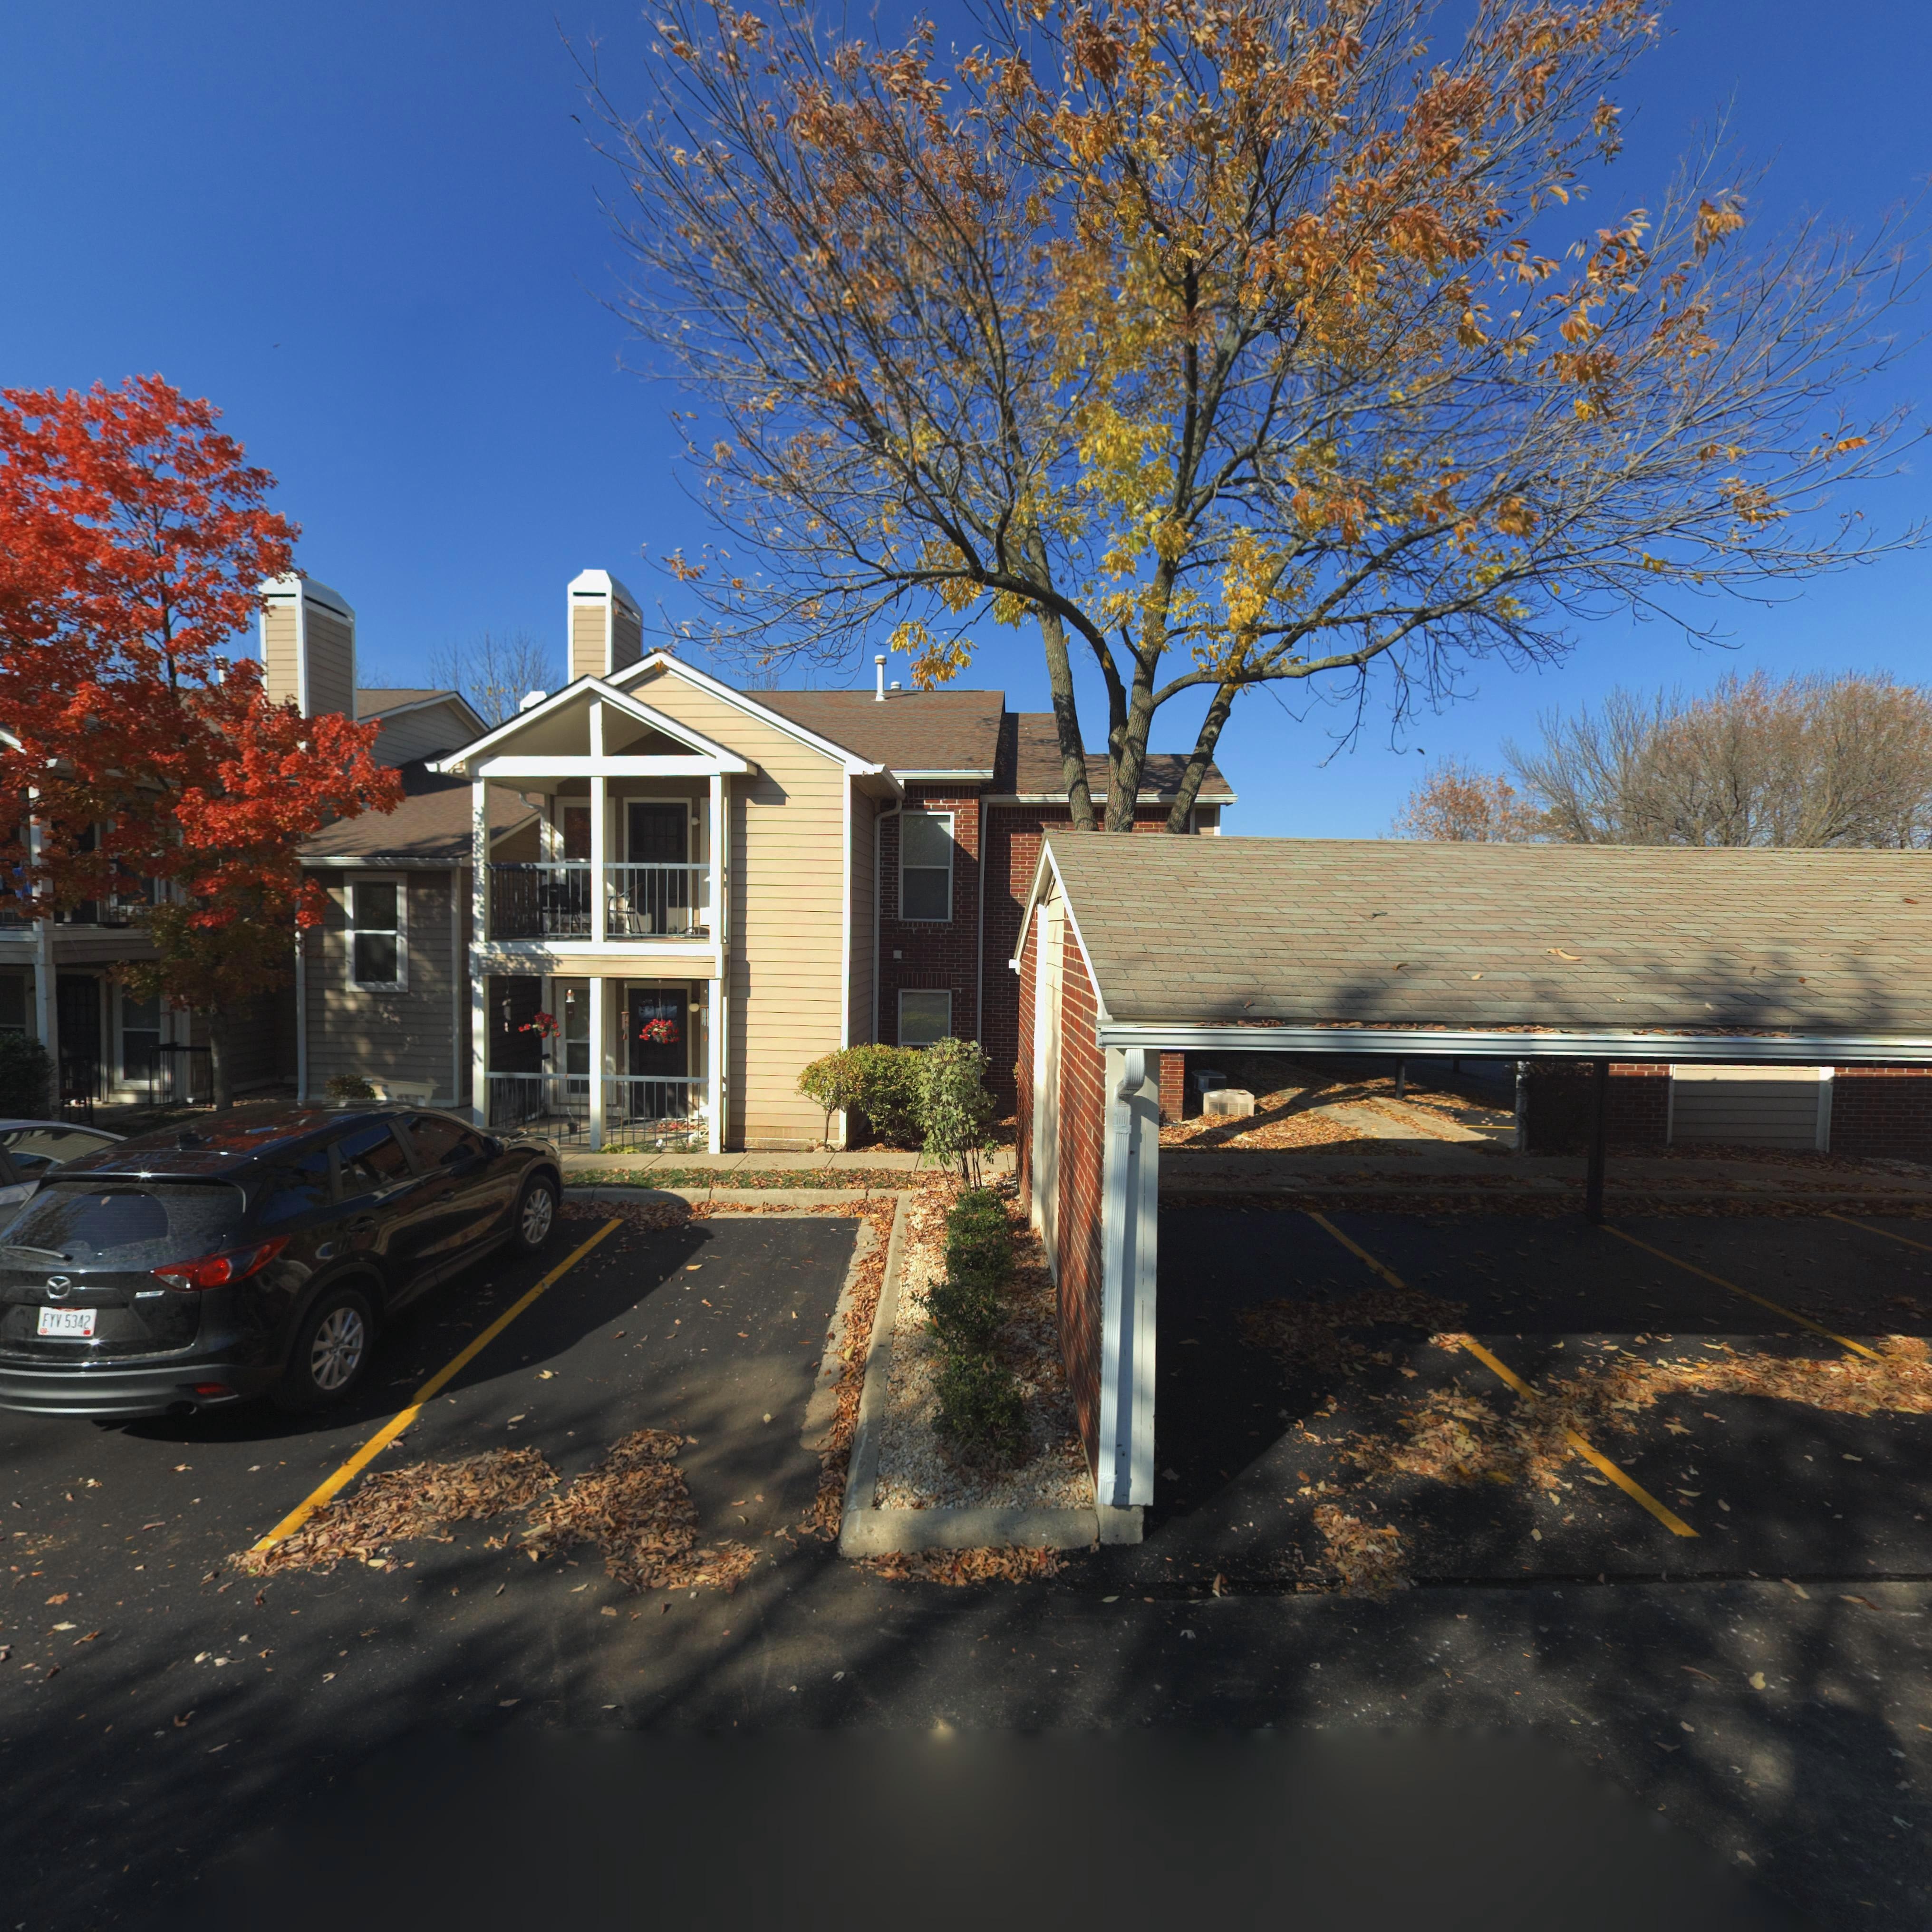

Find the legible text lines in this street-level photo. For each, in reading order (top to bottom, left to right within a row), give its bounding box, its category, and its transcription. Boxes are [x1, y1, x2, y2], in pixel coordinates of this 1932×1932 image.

[41, 1311, 92, 1330] None: FYV 5342